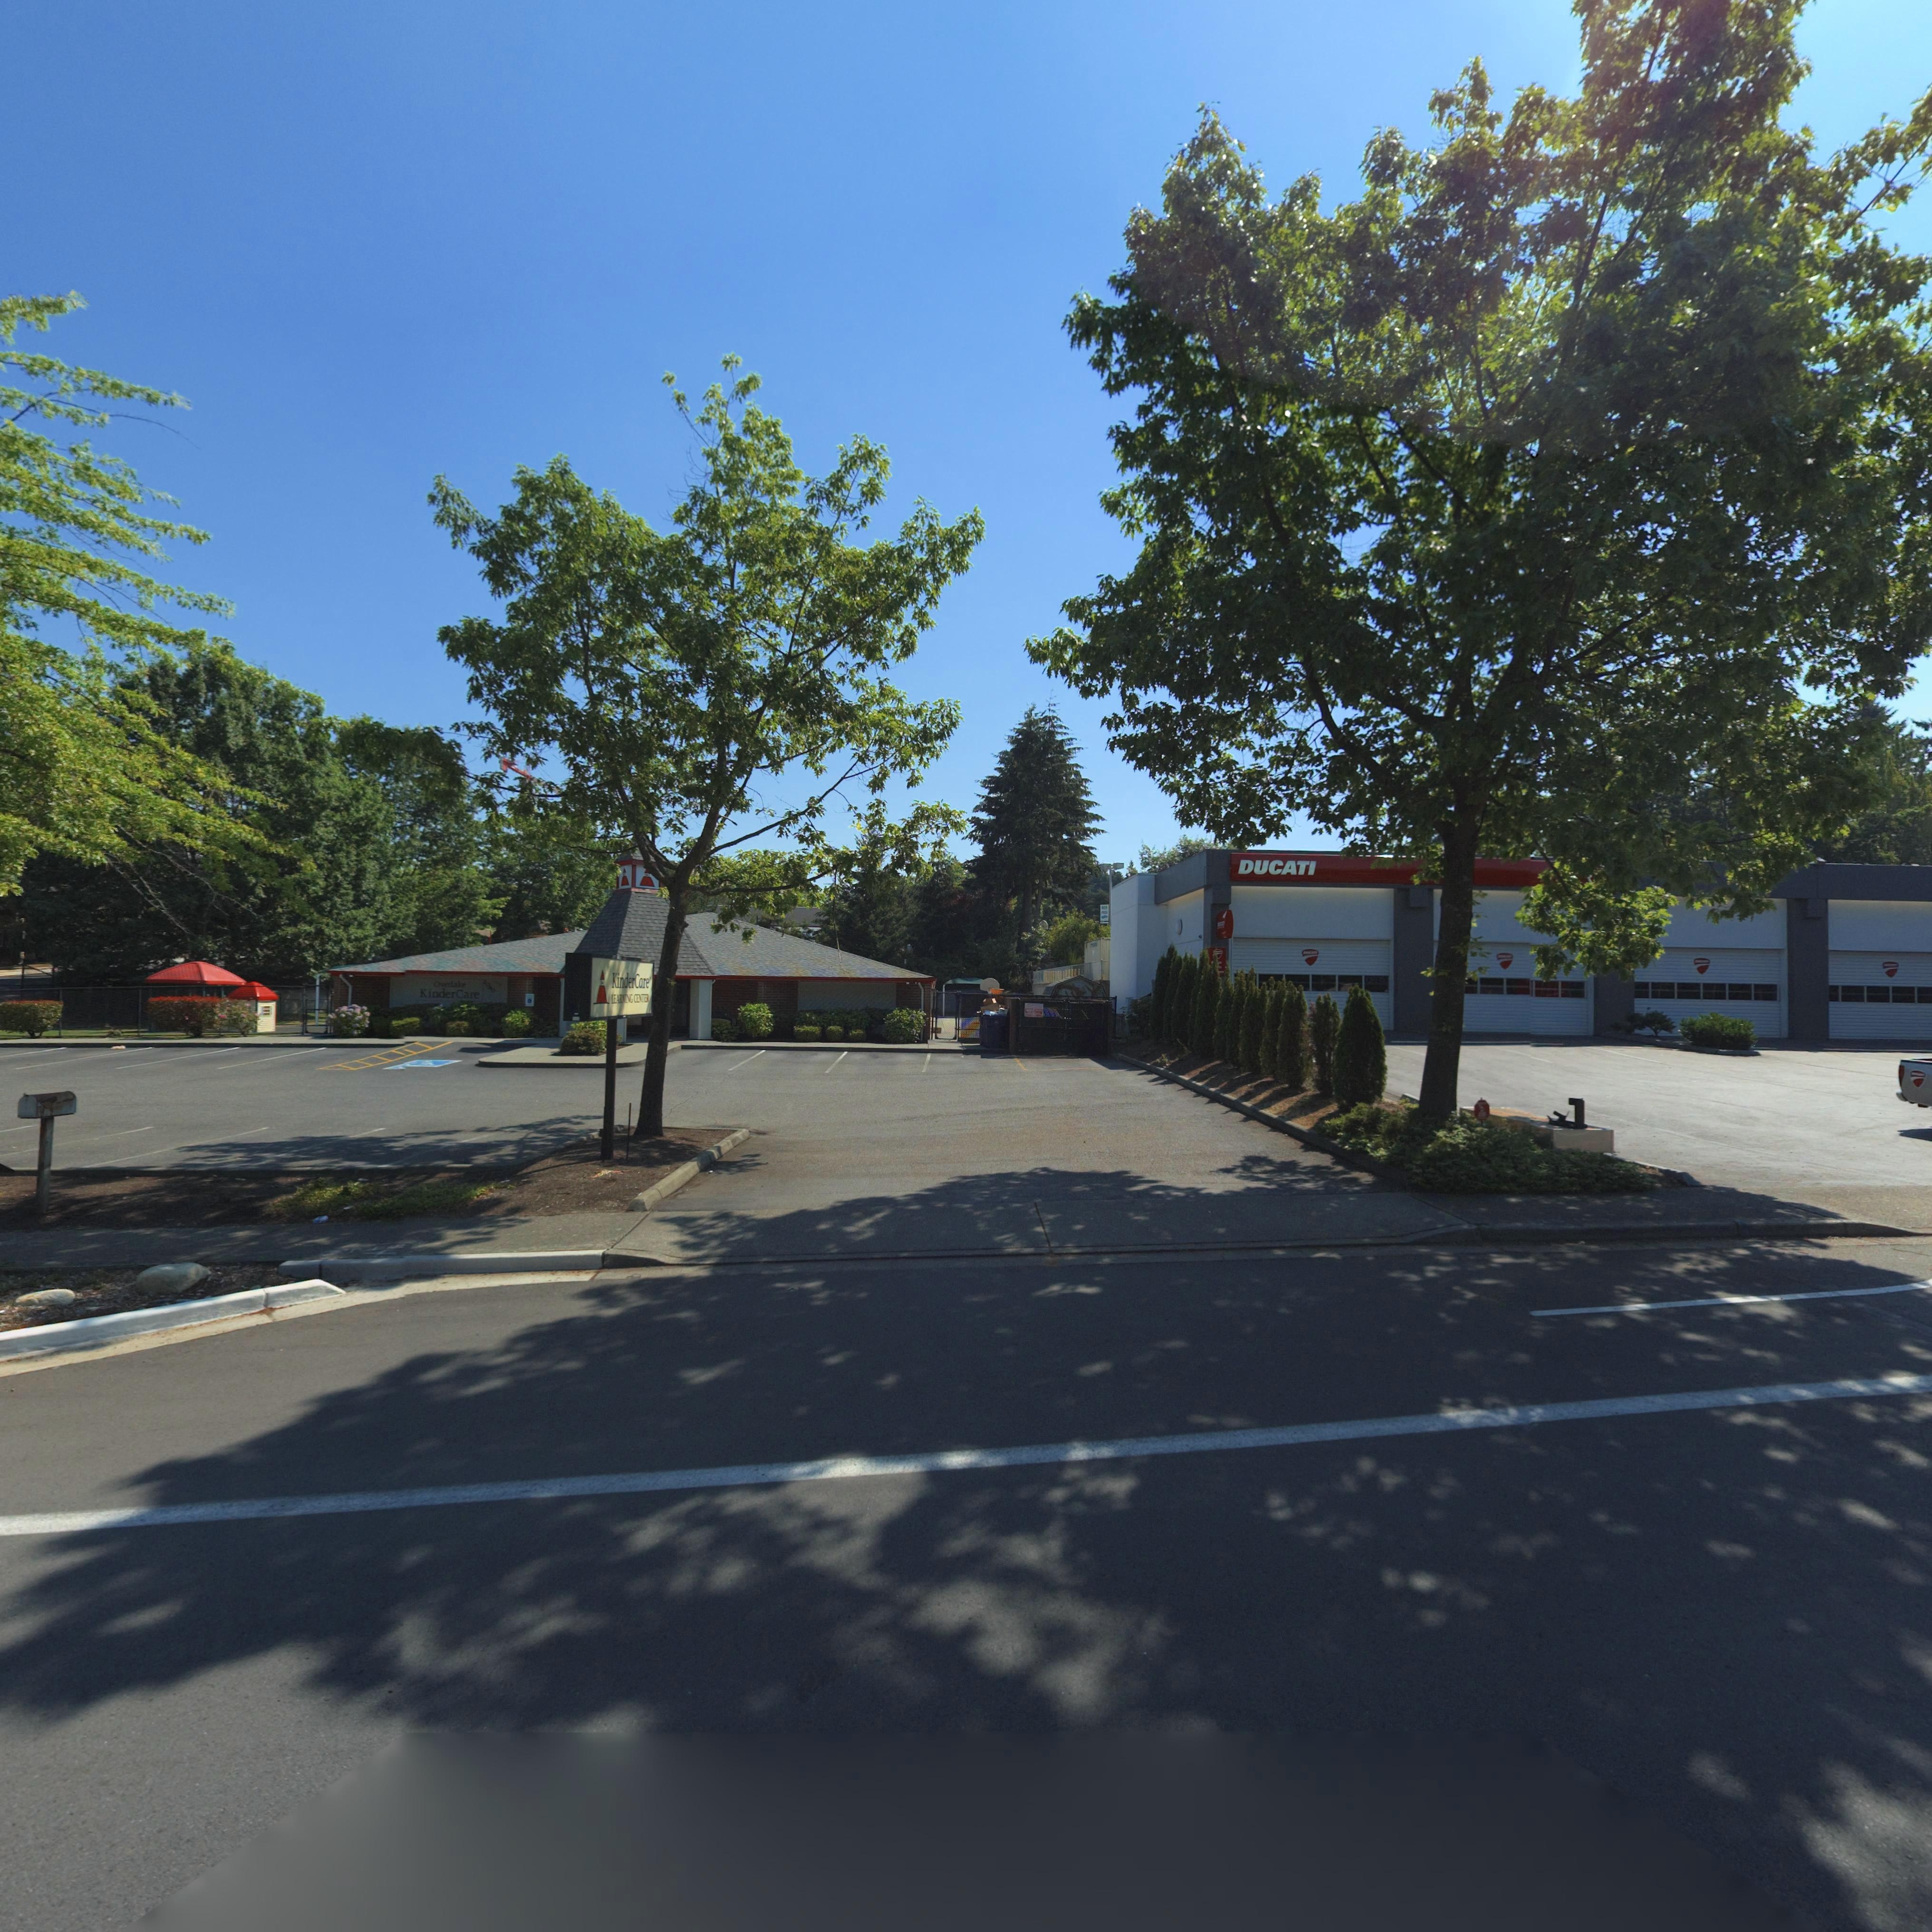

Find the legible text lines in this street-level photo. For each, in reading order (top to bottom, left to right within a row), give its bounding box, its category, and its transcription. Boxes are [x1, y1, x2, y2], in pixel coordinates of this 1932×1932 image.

[1237, 859, 1317, 876] BusinessName: DUCATI
[432, 980, 466, 988] BusinessName: Overlake
[482, 978, 496, 993] StreetNumber: 2060
[611, 972, 650, 988] BusinessName: KinderCare
[419, 987, 479, 999] BusinessName: KInderCare
[610, 994, 649, 1004] BusinessName: LEARNING CENTER